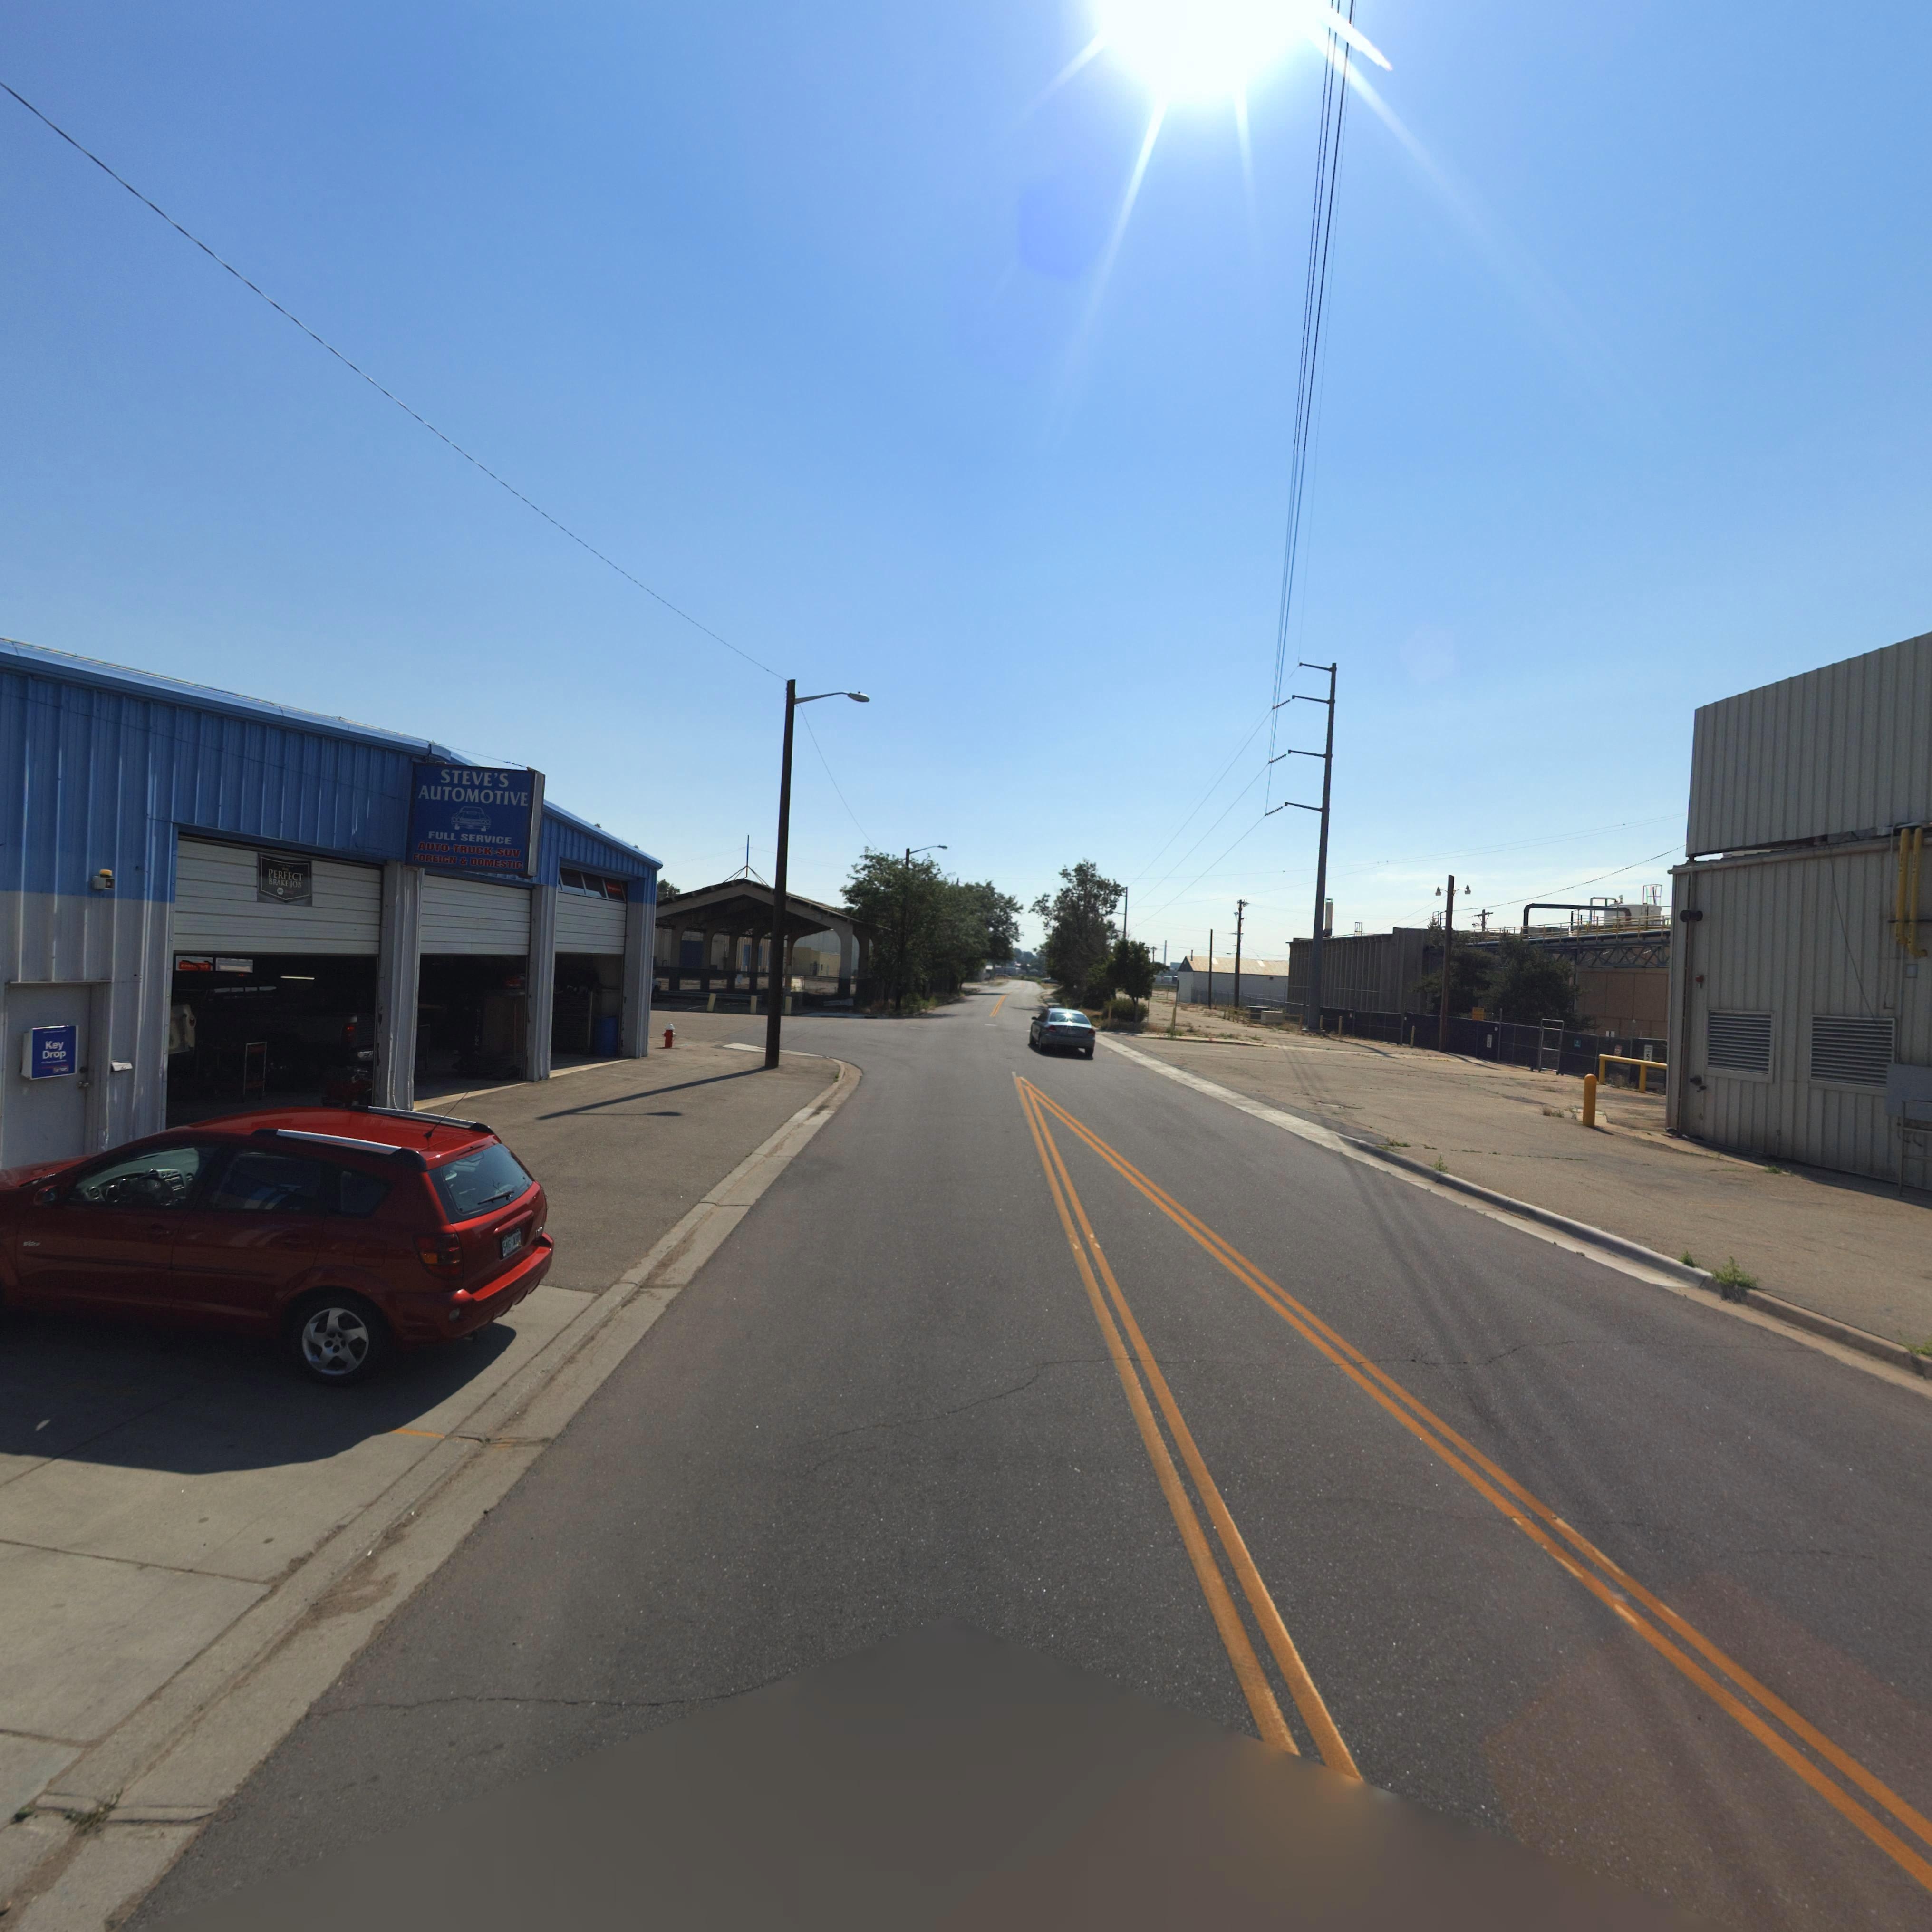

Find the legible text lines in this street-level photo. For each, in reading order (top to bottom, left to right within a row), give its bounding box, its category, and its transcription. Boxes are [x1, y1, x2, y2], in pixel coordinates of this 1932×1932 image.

[440, 768, 509, 788] BusinessName: STEVE'S
[416, 783, 529, 807] BusinessName: AUTOMOTIVE